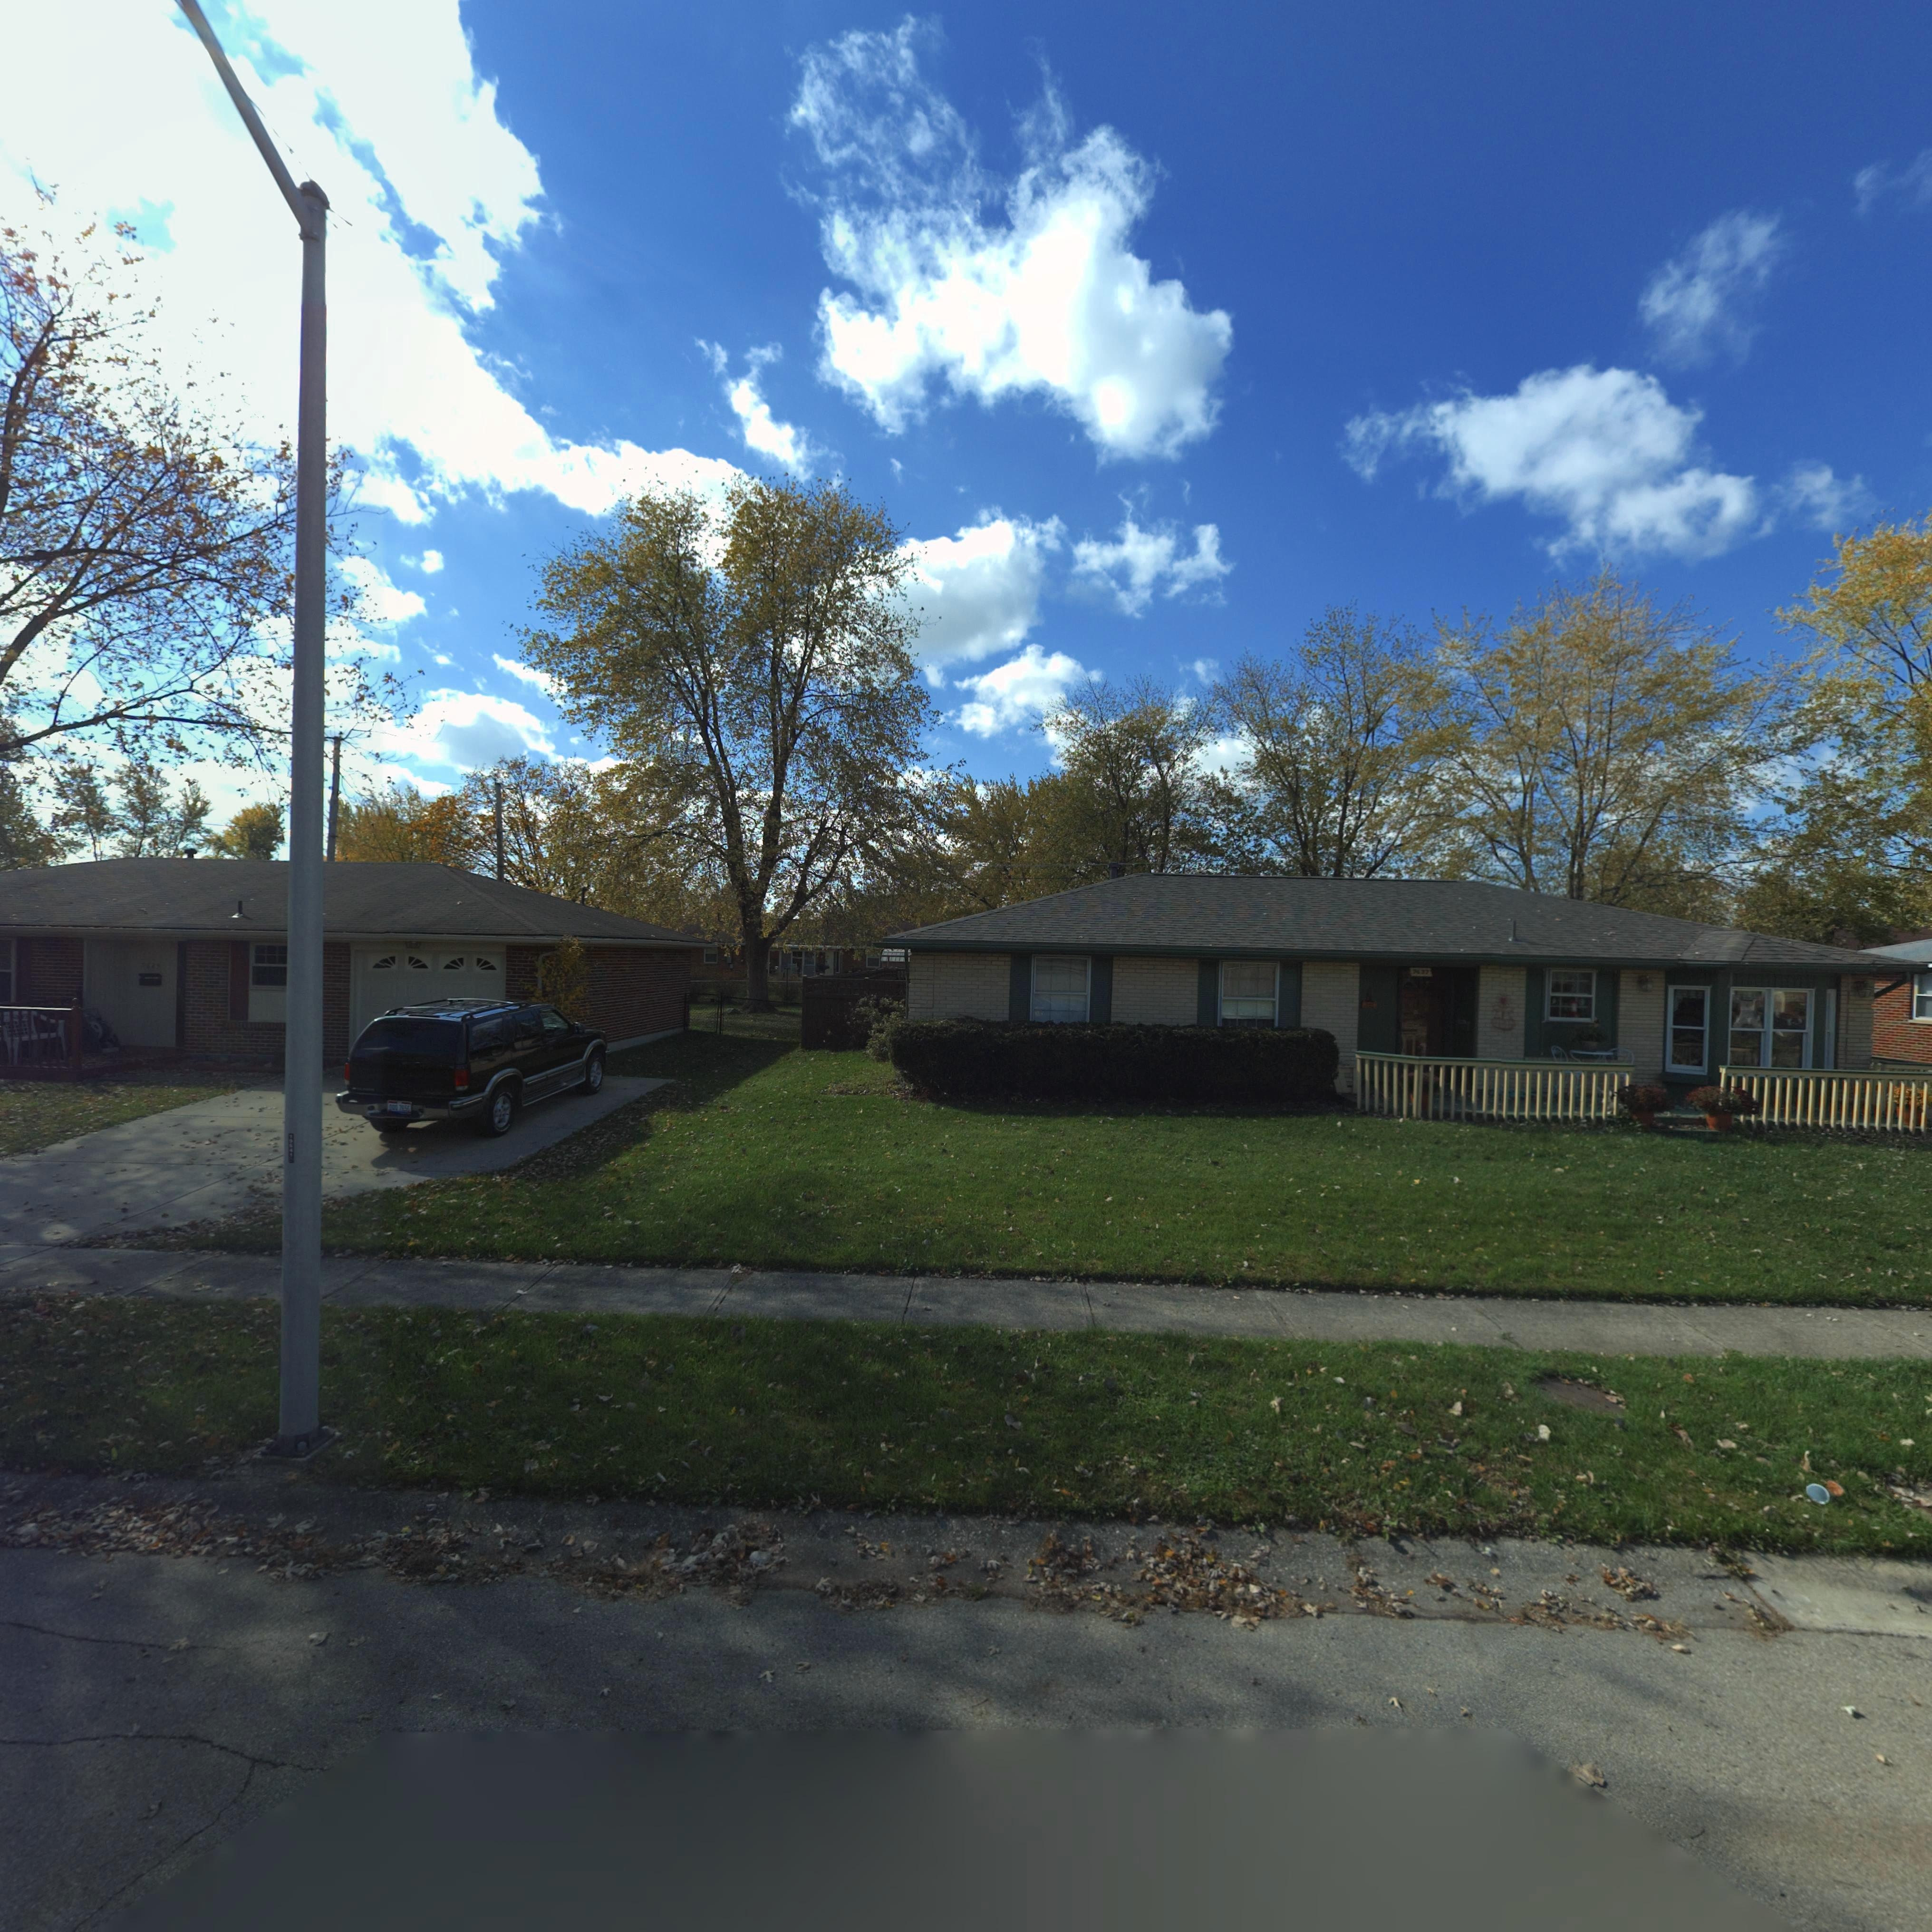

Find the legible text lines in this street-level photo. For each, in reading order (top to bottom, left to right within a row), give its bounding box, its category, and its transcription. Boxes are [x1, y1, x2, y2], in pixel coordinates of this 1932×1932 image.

[1411, 968, 1430, 976] StreetNumber: ***7